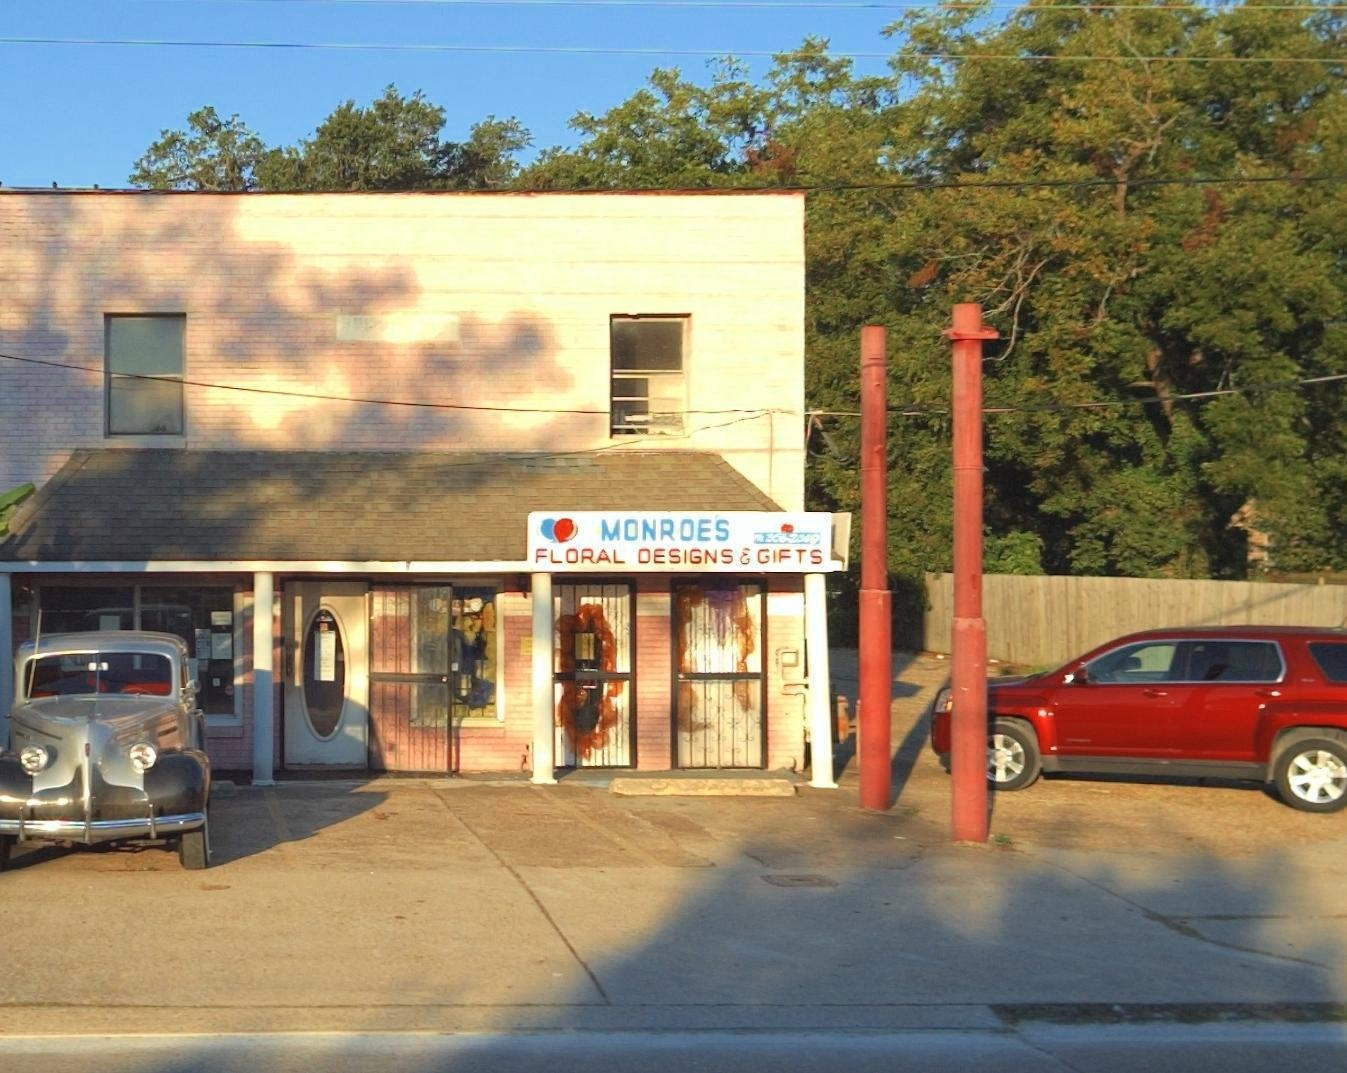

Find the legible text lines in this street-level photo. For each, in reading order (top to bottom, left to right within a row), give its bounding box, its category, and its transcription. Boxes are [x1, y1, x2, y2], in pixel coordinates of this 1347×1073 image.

[598, 511, 733, 545] BusinessName: MONROE'S
[533, 545, 826, 567] BusinessName: FLORAL DESIGNS * GIFTS